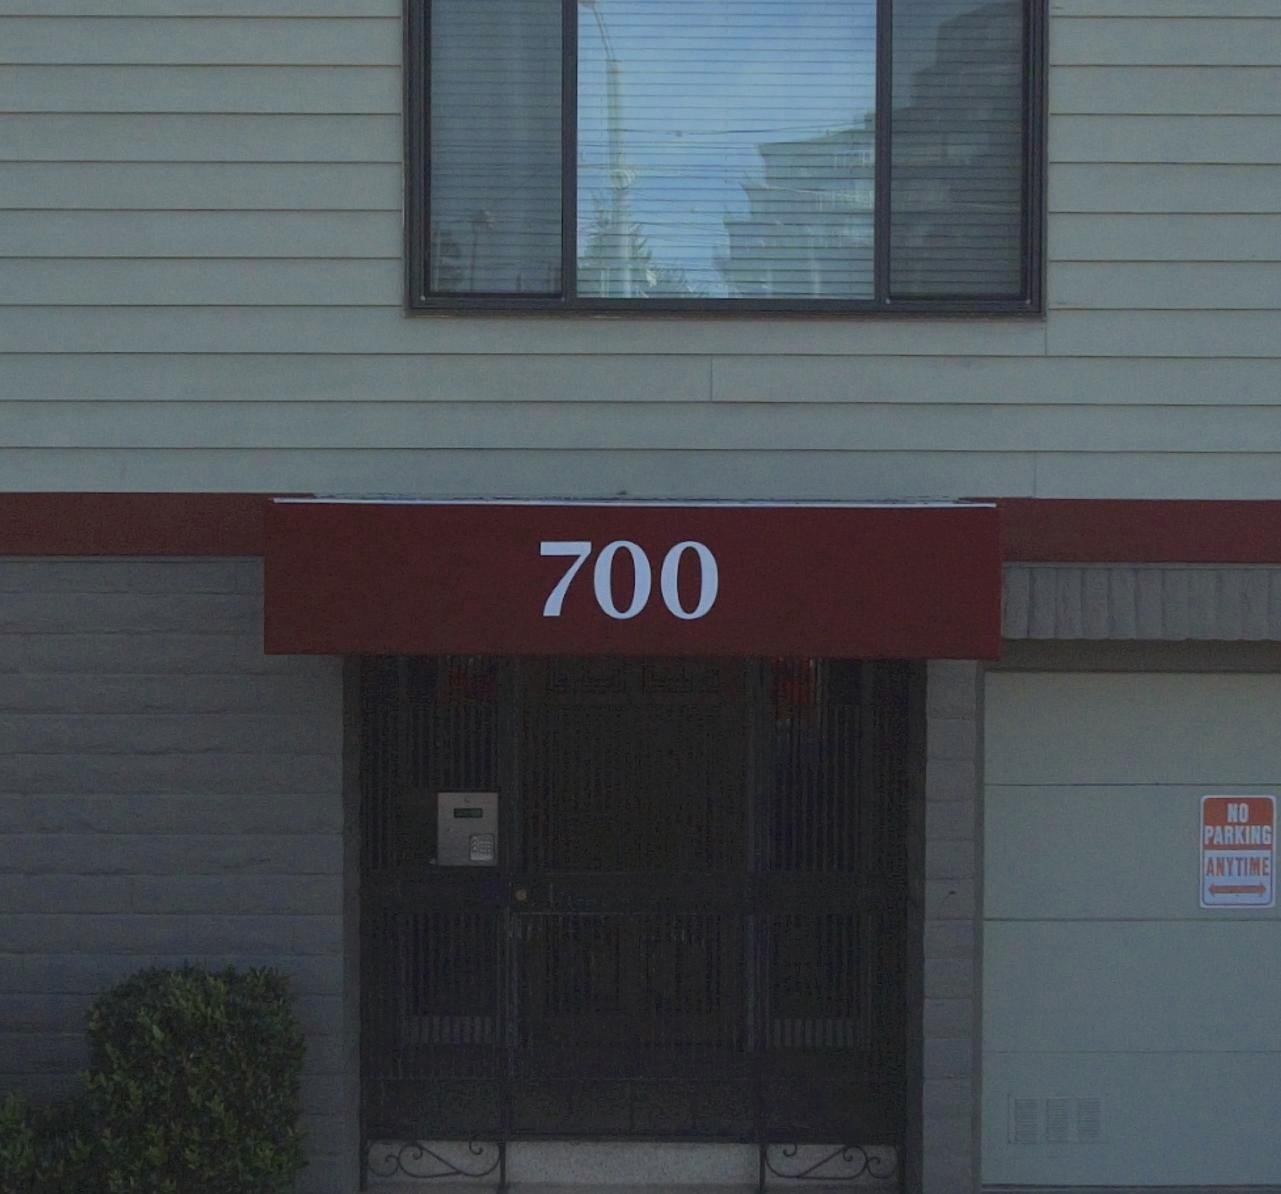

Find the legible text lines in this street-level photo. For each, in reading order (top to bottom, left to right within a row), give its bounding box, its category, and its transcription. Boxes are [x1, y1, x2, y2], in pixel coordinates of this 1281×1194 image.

[536, 537, 723, 623] StreetNumber: 700
[1222, 799, 1251, 826] None: NO
[1202, 822, 1274, 848] None: PARKING
[1202, 854, 1273, 879] None: ANYTIME